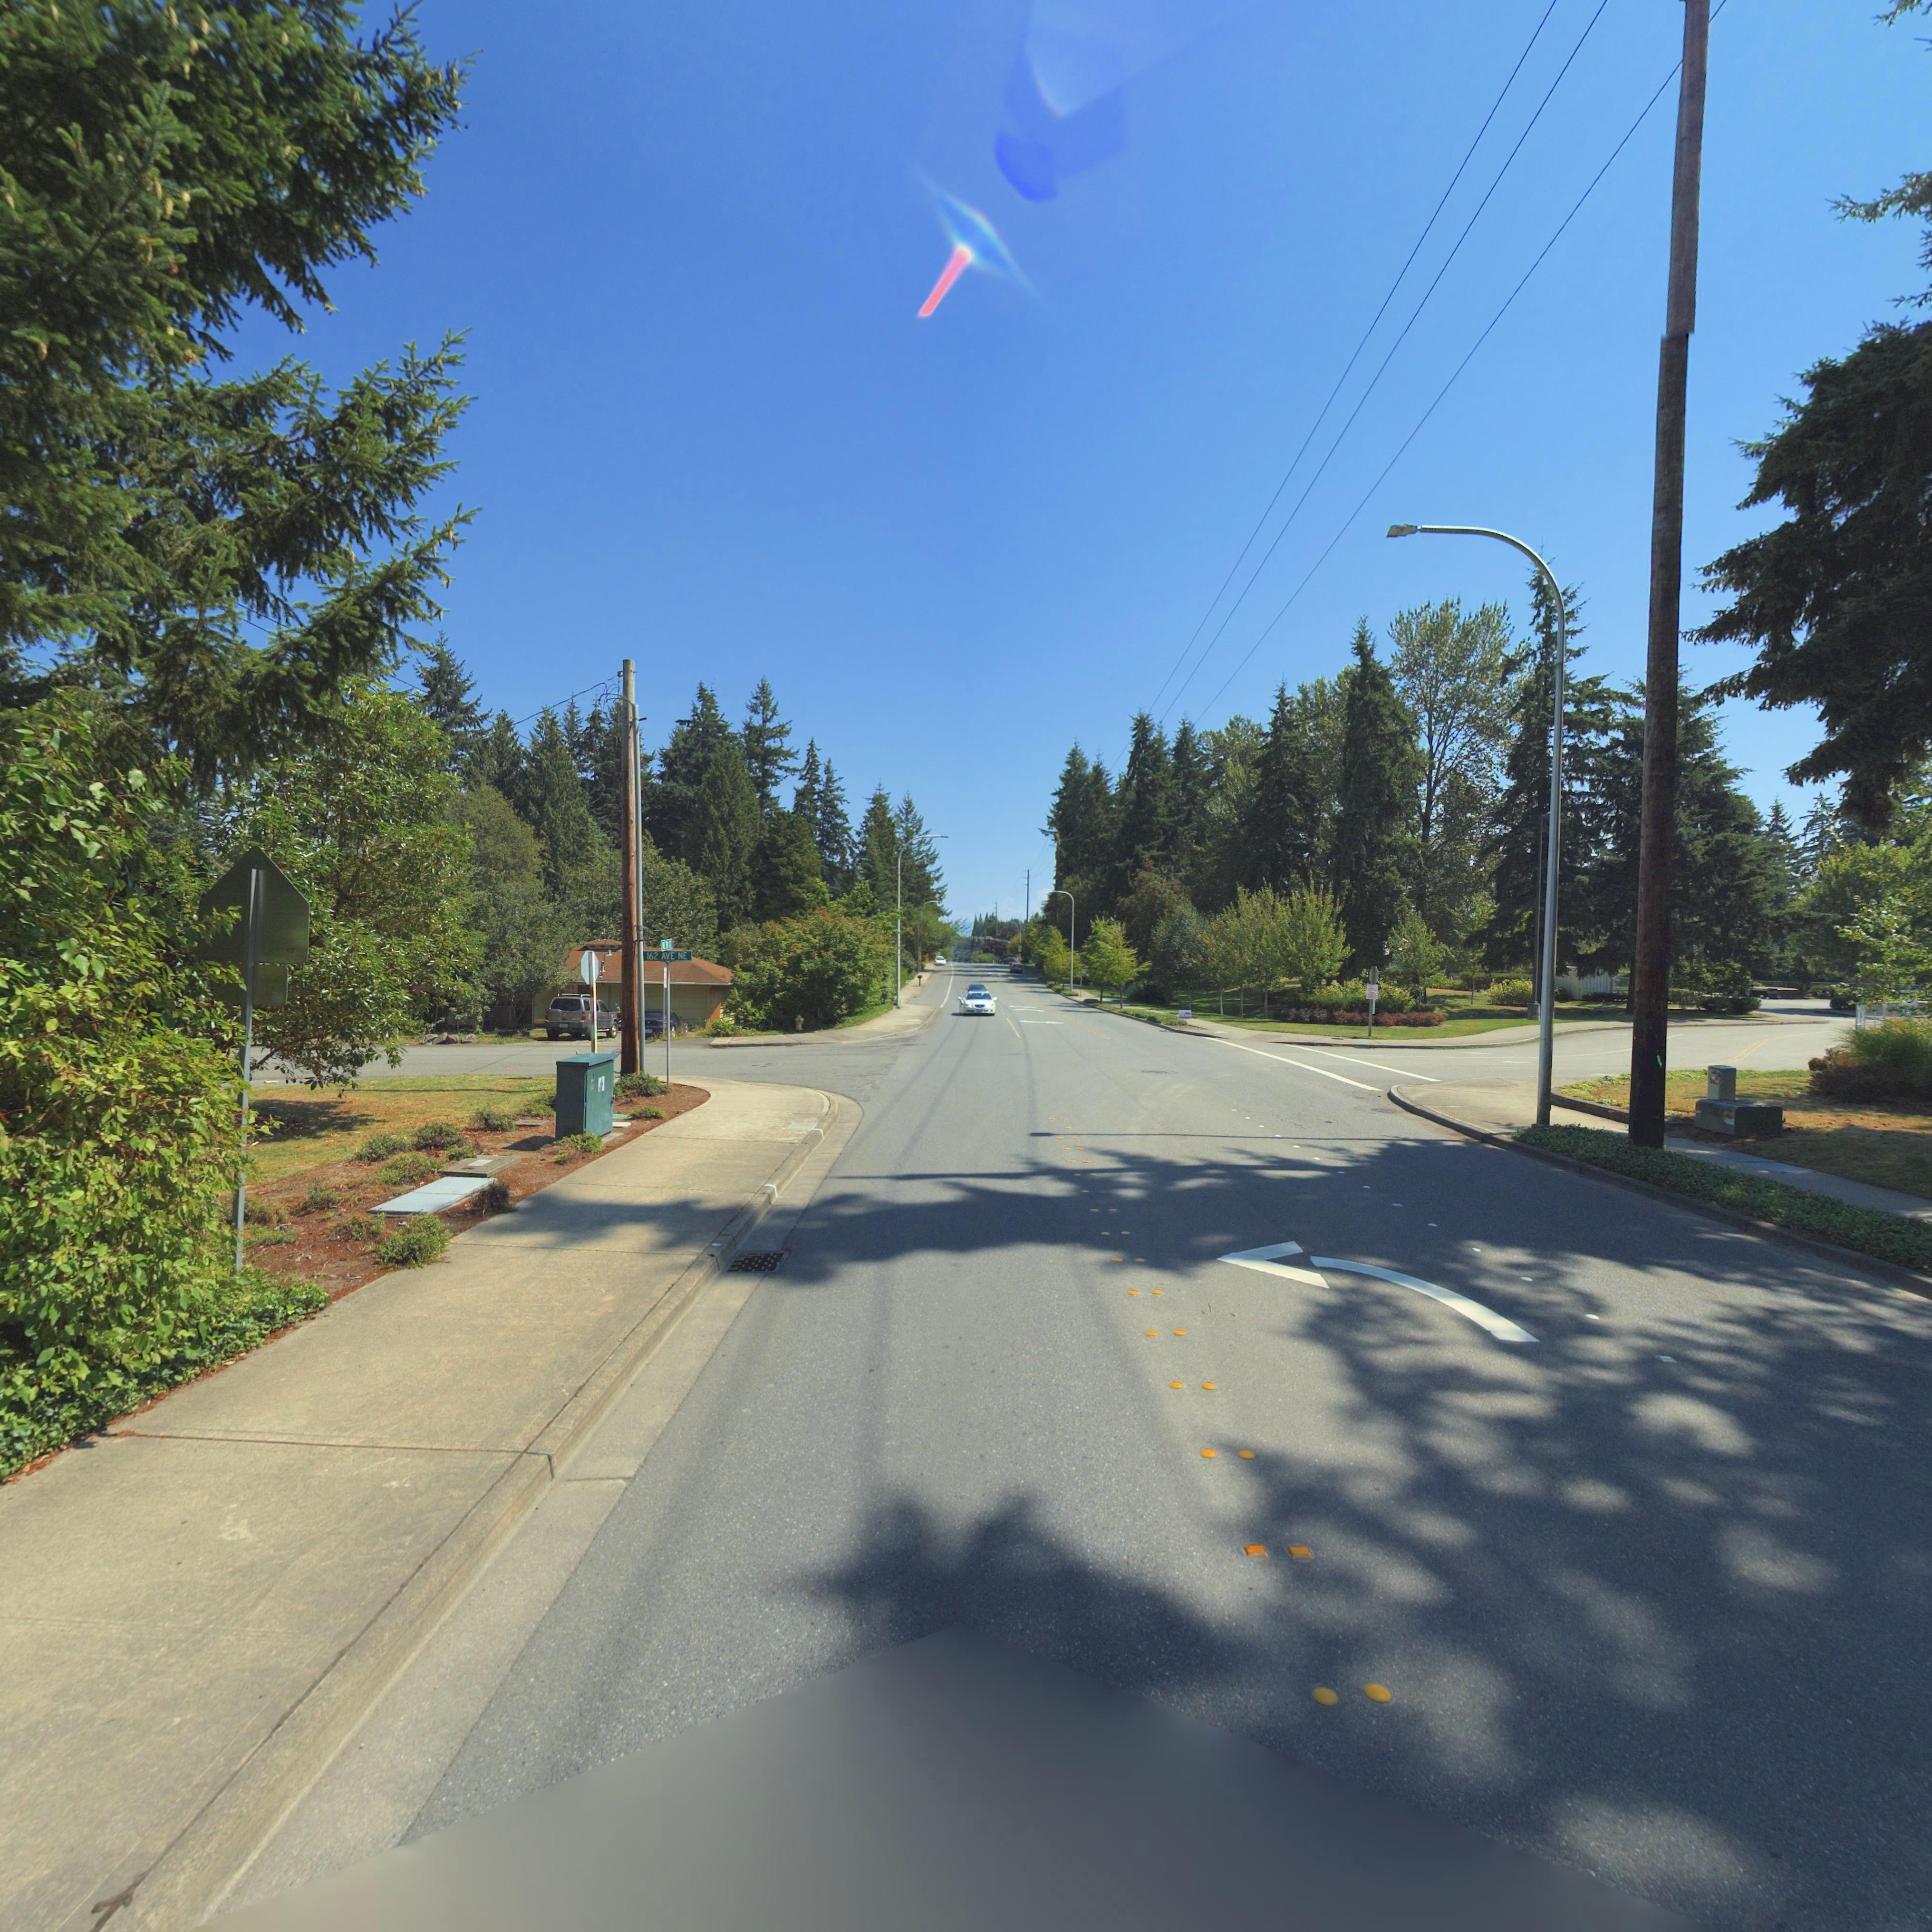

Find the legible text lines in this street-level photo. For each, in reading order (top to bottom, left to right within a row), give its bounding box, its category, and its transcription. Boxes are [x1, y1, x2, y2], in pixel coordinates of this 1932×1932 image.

[647, 952, 687, 960] StreetName: 162 AVE NE